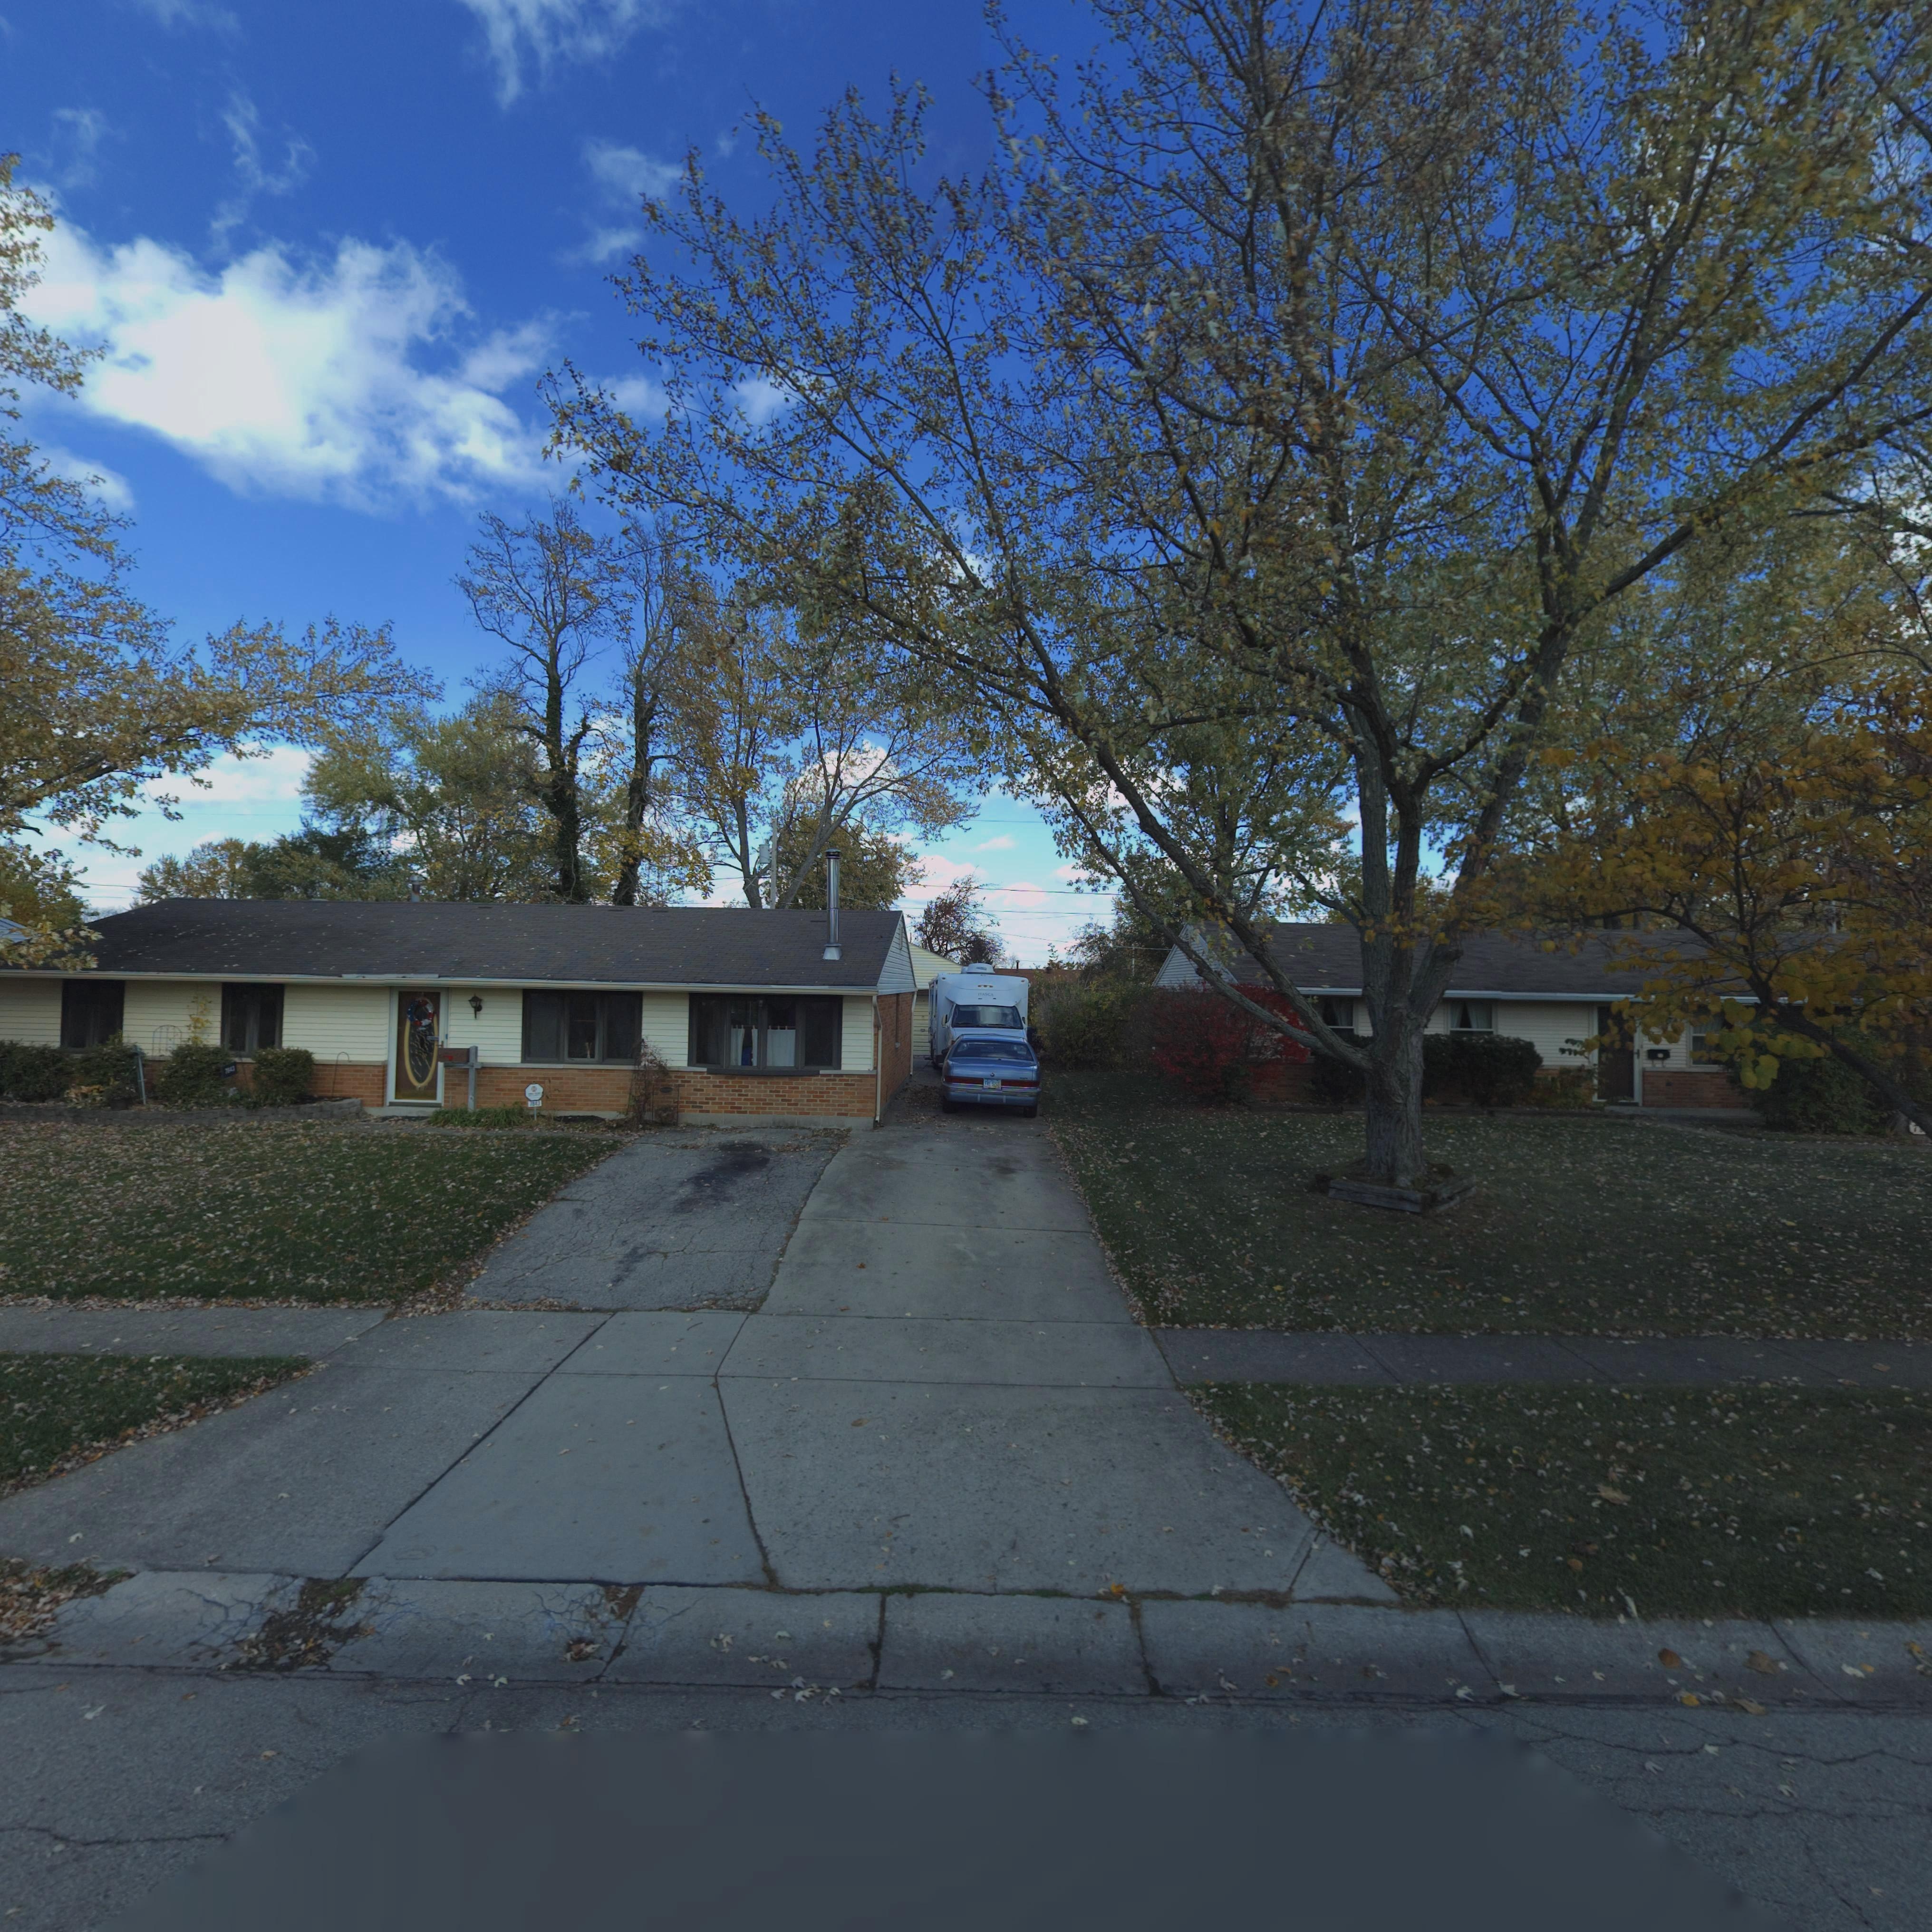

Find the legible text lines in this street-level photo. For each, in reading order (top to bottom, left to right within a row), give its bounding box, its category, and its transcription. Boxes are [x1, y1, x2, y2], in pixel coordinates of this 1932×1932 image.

[529, 1100, 541, 1107] StreetNumber: 7843